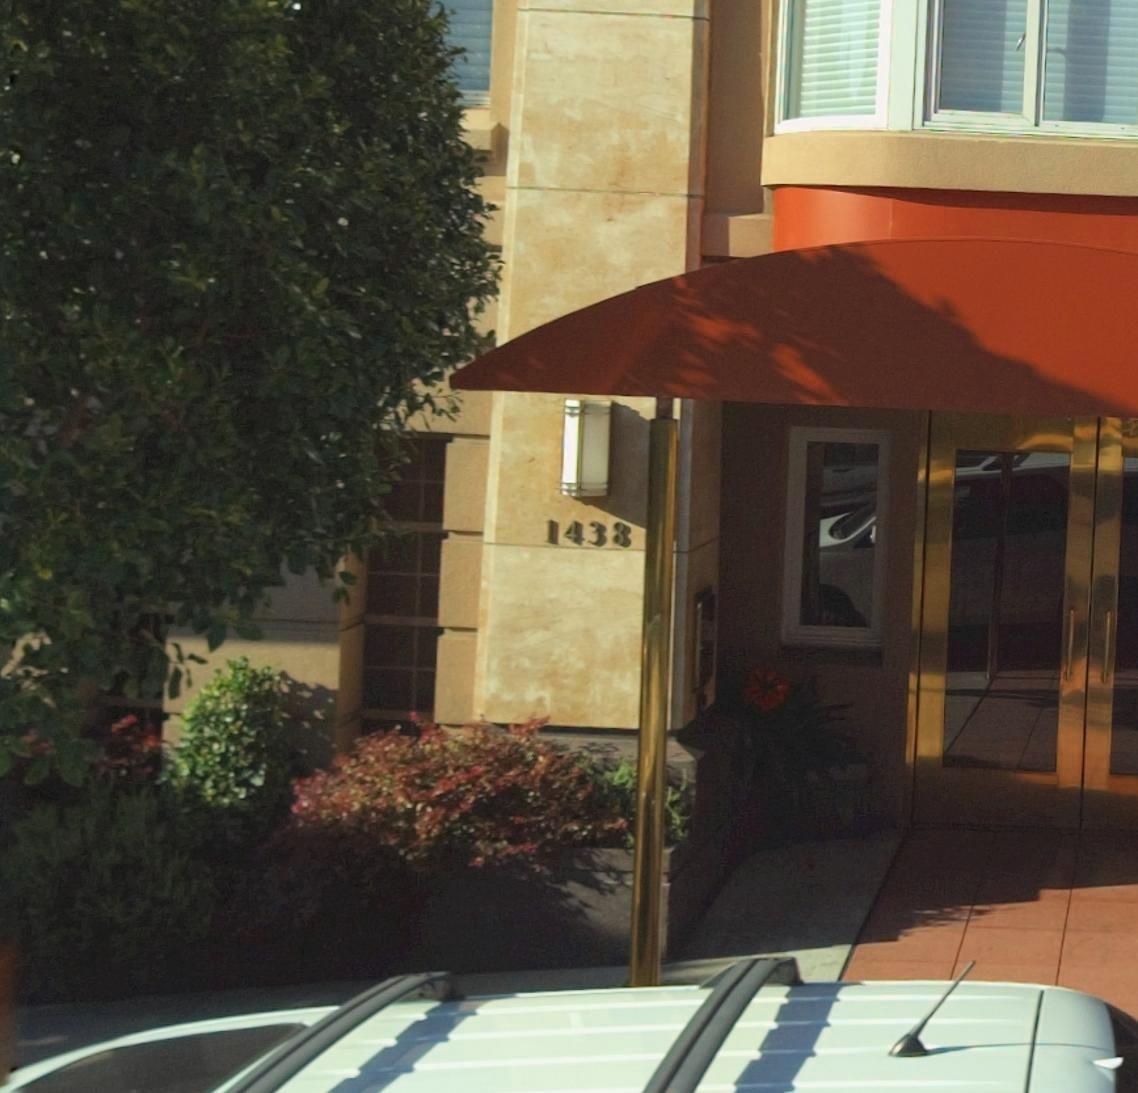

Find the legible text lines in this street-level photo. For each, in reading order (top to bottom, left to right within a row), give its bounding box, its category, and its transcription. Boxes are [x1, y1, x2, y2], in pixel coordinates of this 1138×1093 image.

[543, 518, 628, 546] StreetNumber: 1438